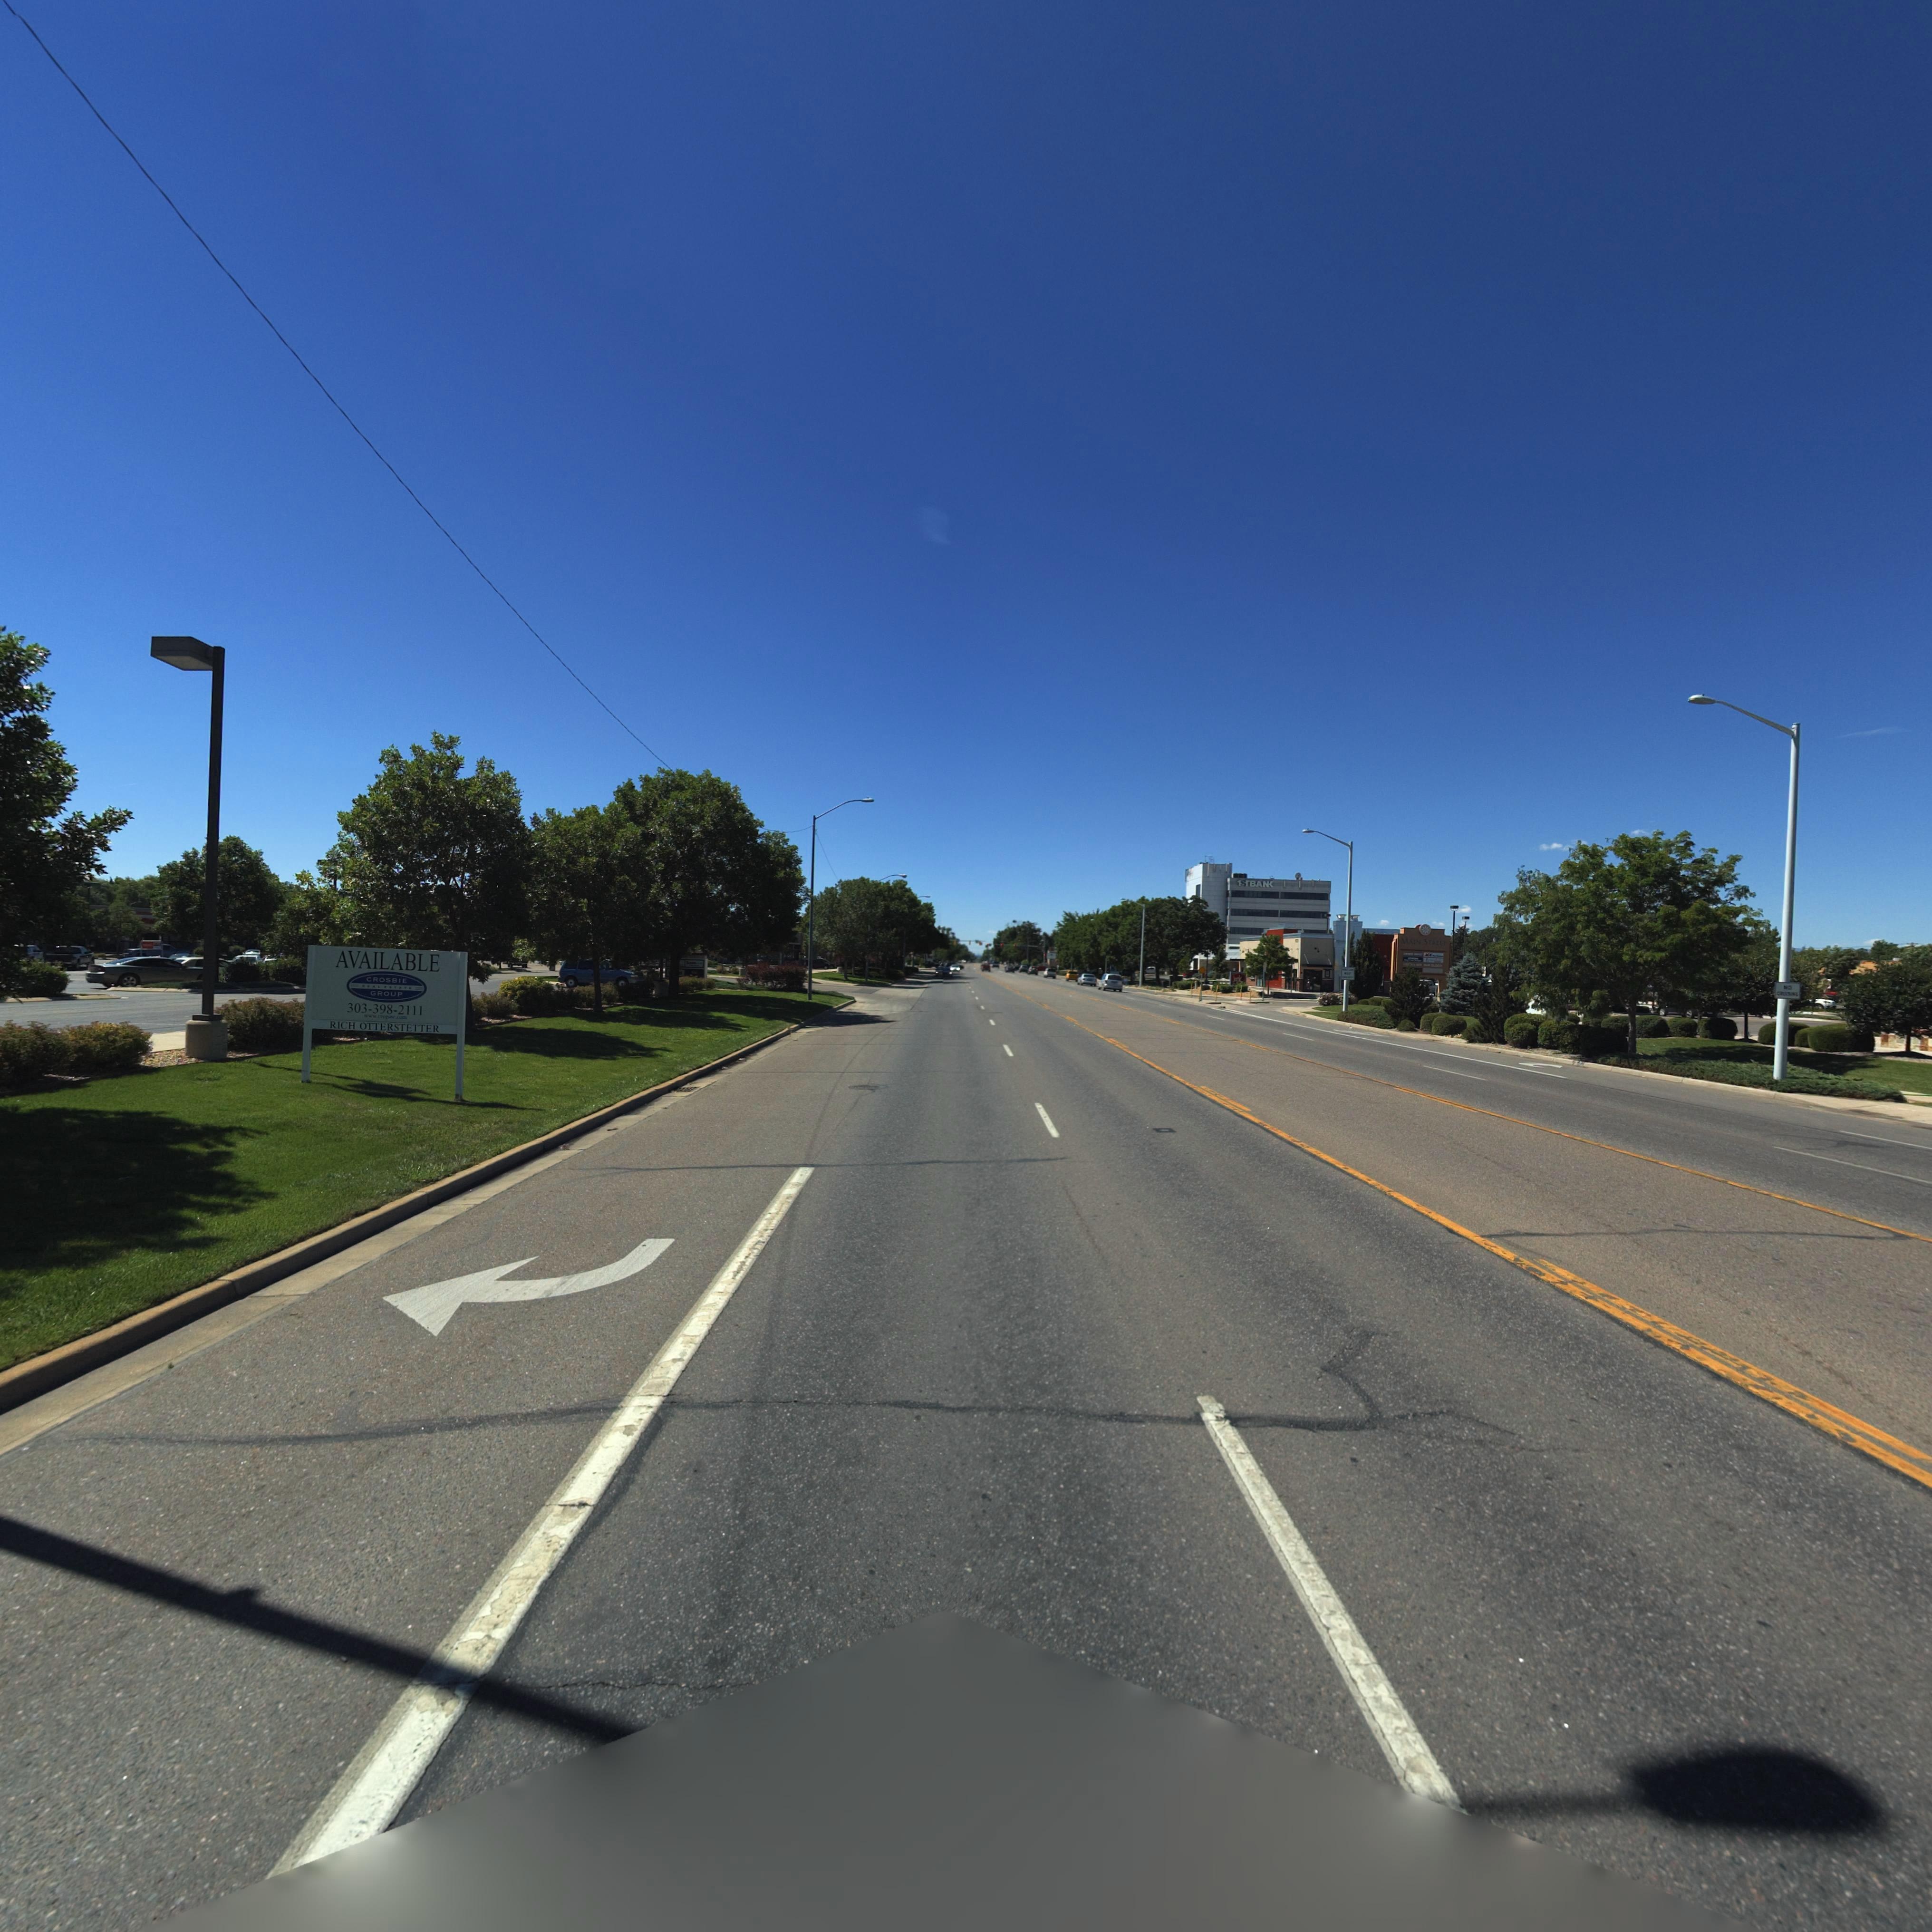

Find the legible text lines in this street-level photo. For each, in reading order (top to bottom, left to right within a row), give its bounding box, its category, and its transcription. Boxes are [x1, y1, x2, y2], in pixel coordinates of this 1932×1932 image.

[1236, 879, 1274, 888] BusinessName: 1STBAN*
[1424, 953, 1432, 956] BusinessName: AC*
[1423, 964, 1442, 967] BusinessName: *** **OCK
[1232, 974, 1242, 982] BusinessName: Jack